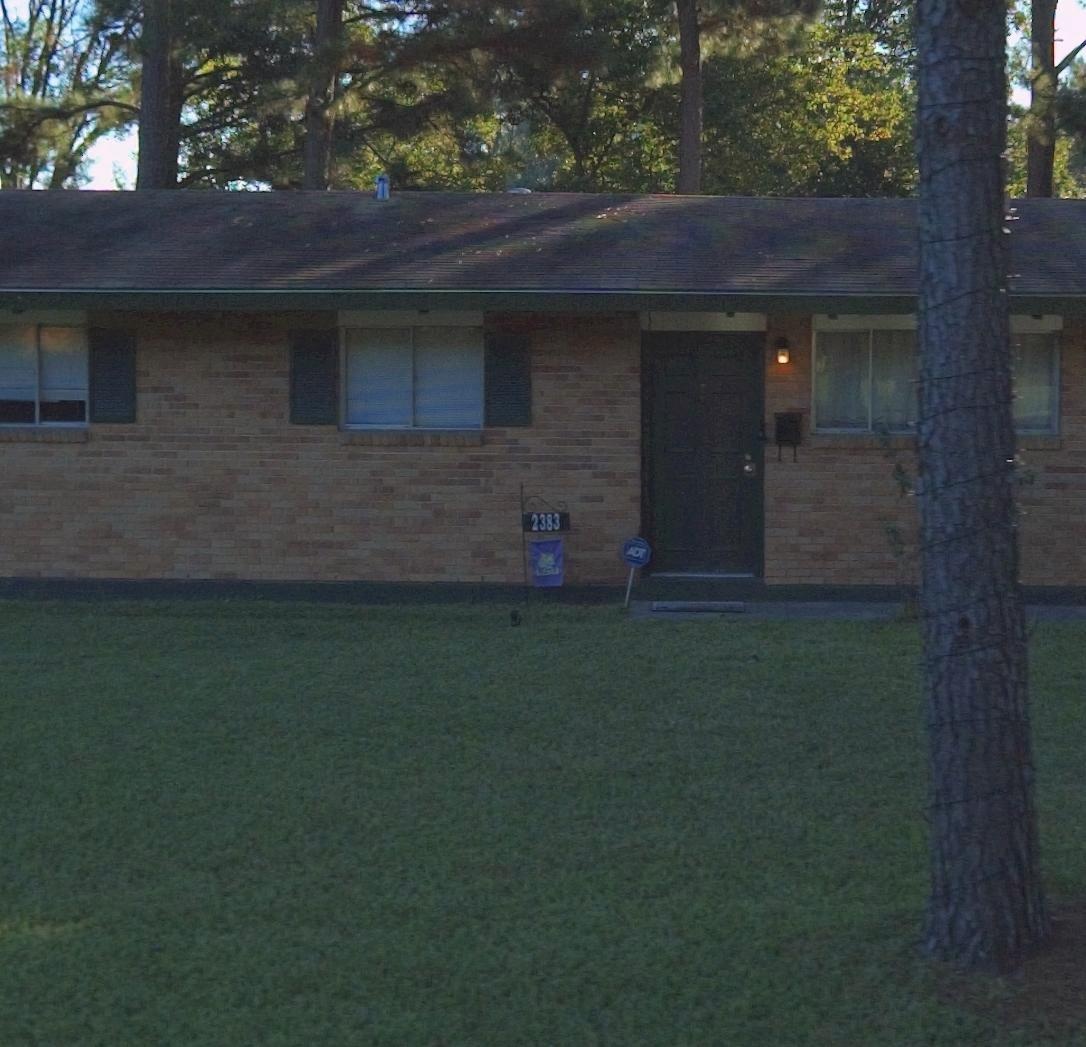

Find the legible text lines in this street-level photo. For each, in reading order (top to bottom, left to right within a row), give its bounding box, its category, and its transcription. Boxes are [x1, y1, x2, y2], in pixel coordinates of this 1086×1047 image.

[529, 512, 562, 532] StreetNumber: 2383
[623, 542, 650, 563] None: ADT